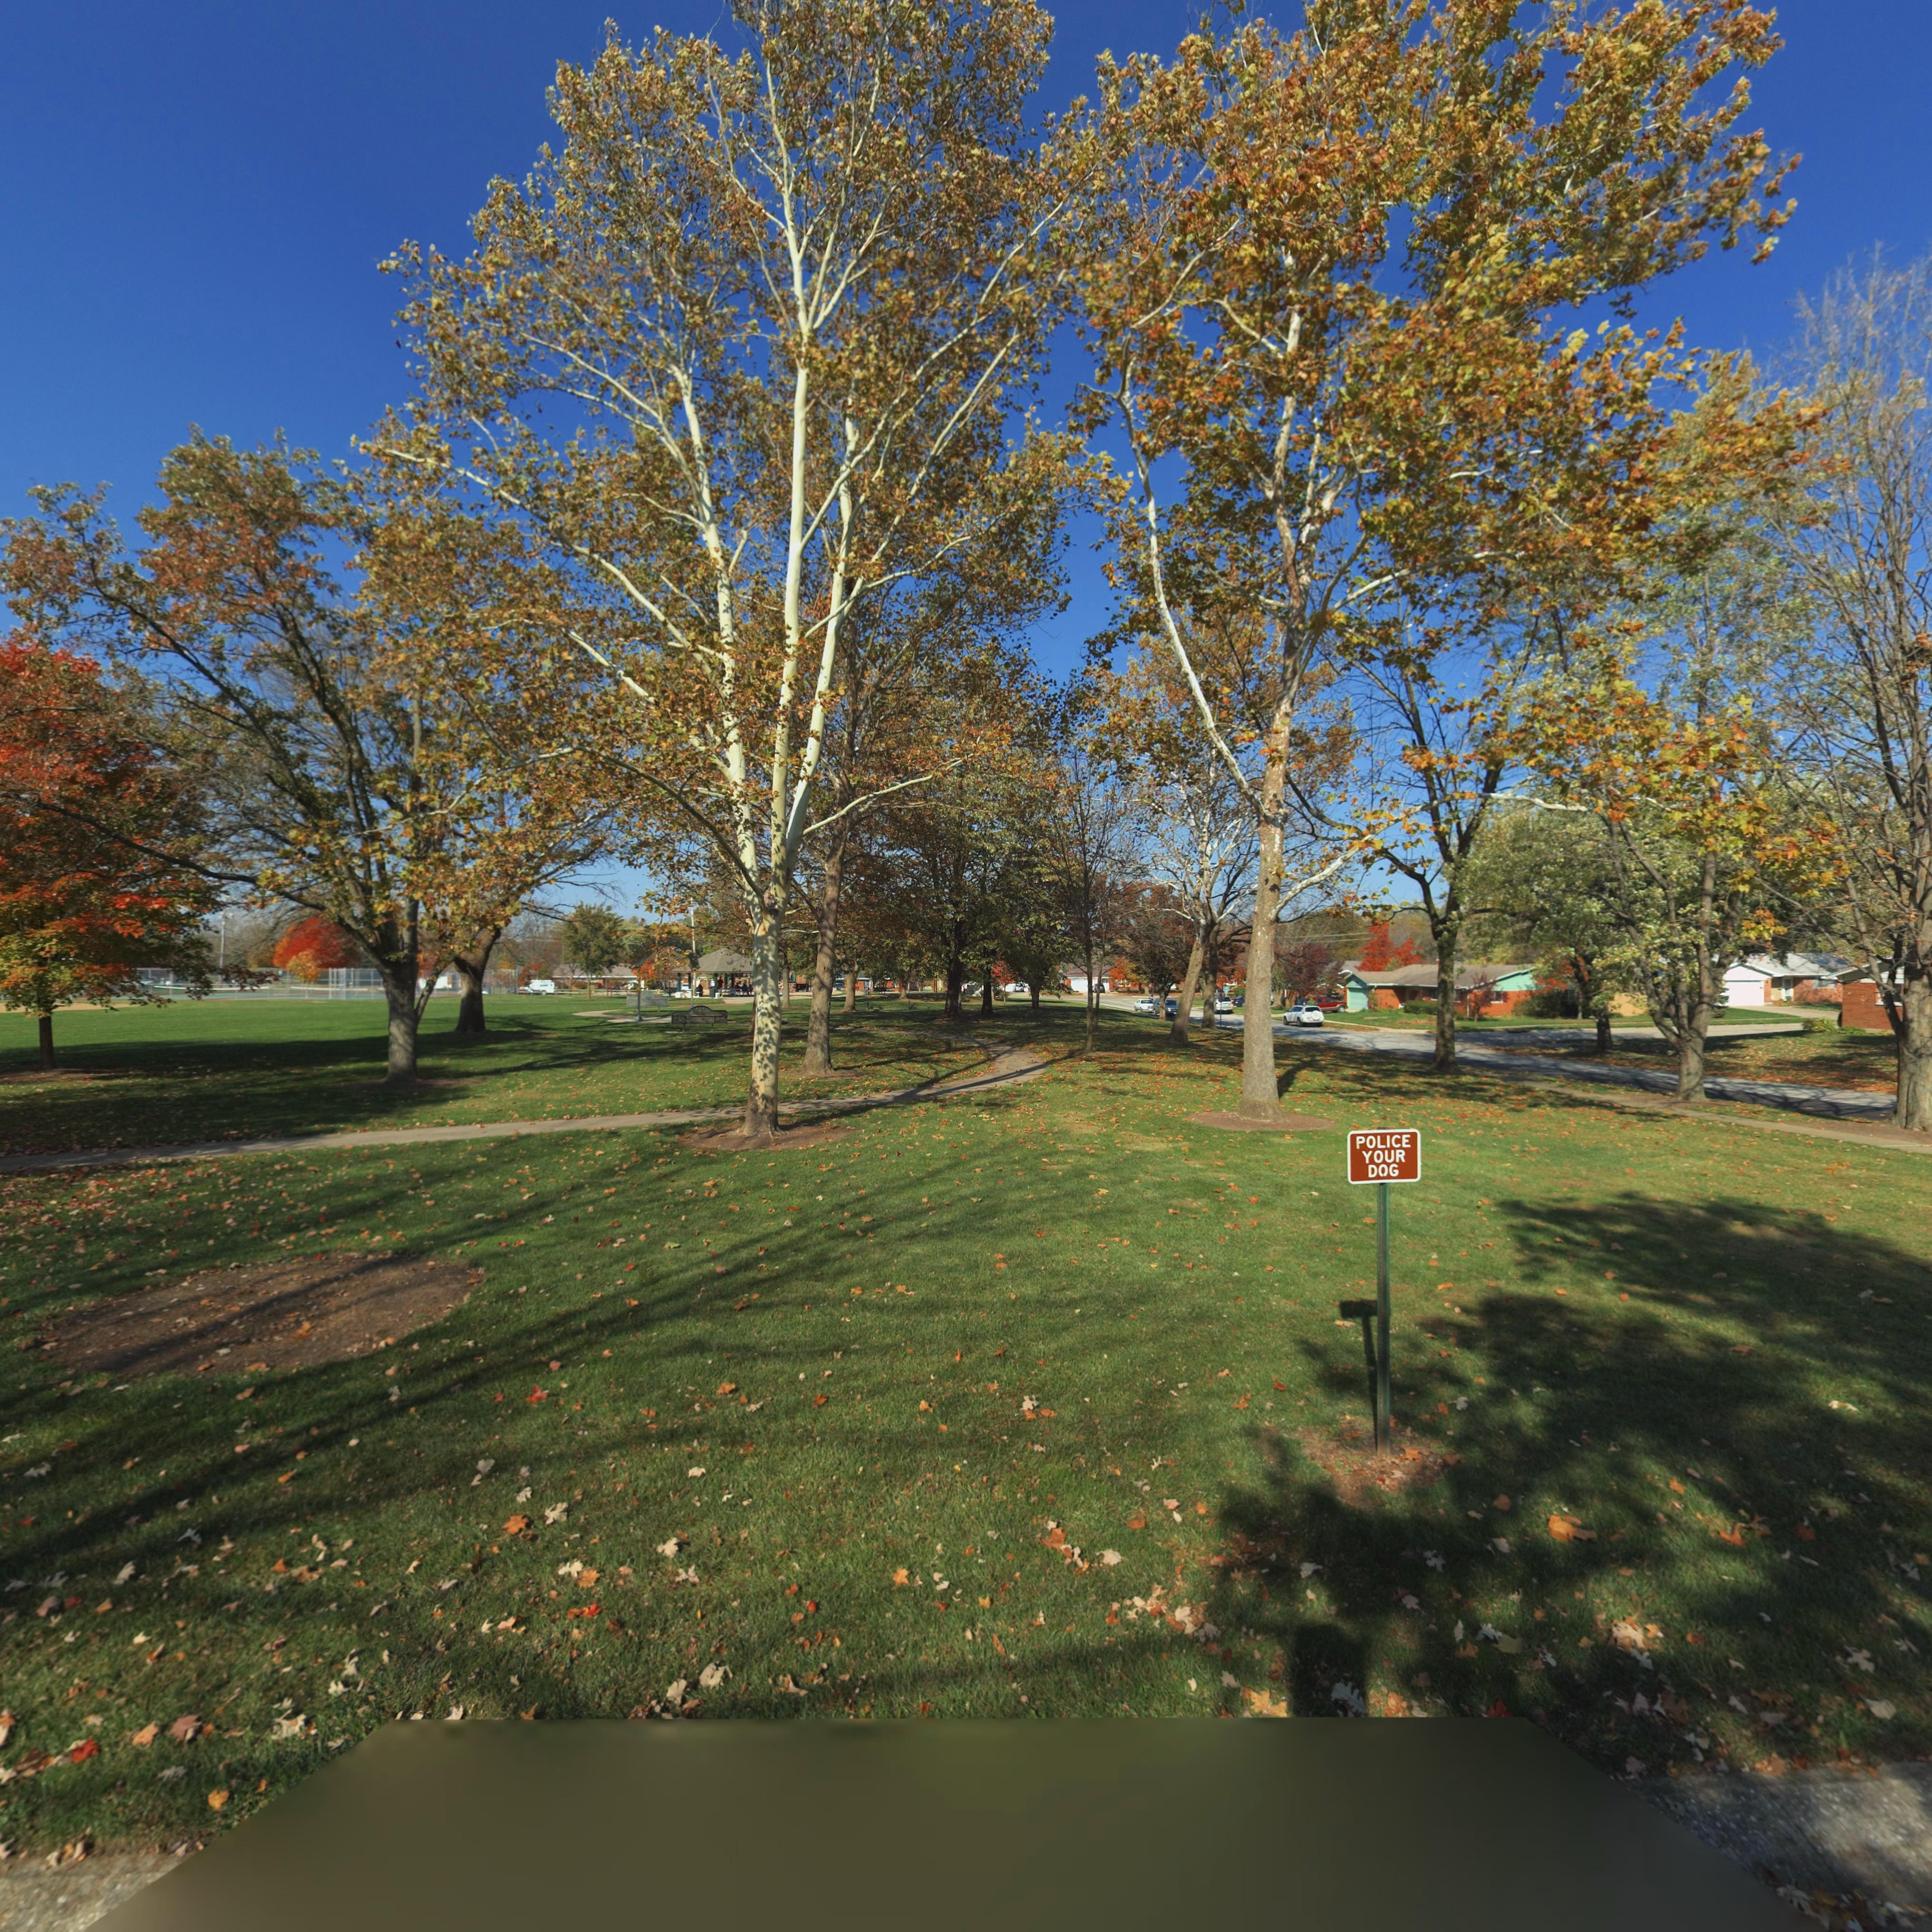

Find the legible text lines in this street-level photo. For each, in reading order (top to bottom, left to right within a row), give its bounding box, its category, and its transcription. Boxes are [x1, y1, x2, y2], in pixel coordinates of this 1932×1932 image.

[1354, 1133, 1412, 1150] None: POLICE
[1360, 1148, 1408, 1165] None: YOUR
[1366, 1162, 1401, 1179] None: DOG